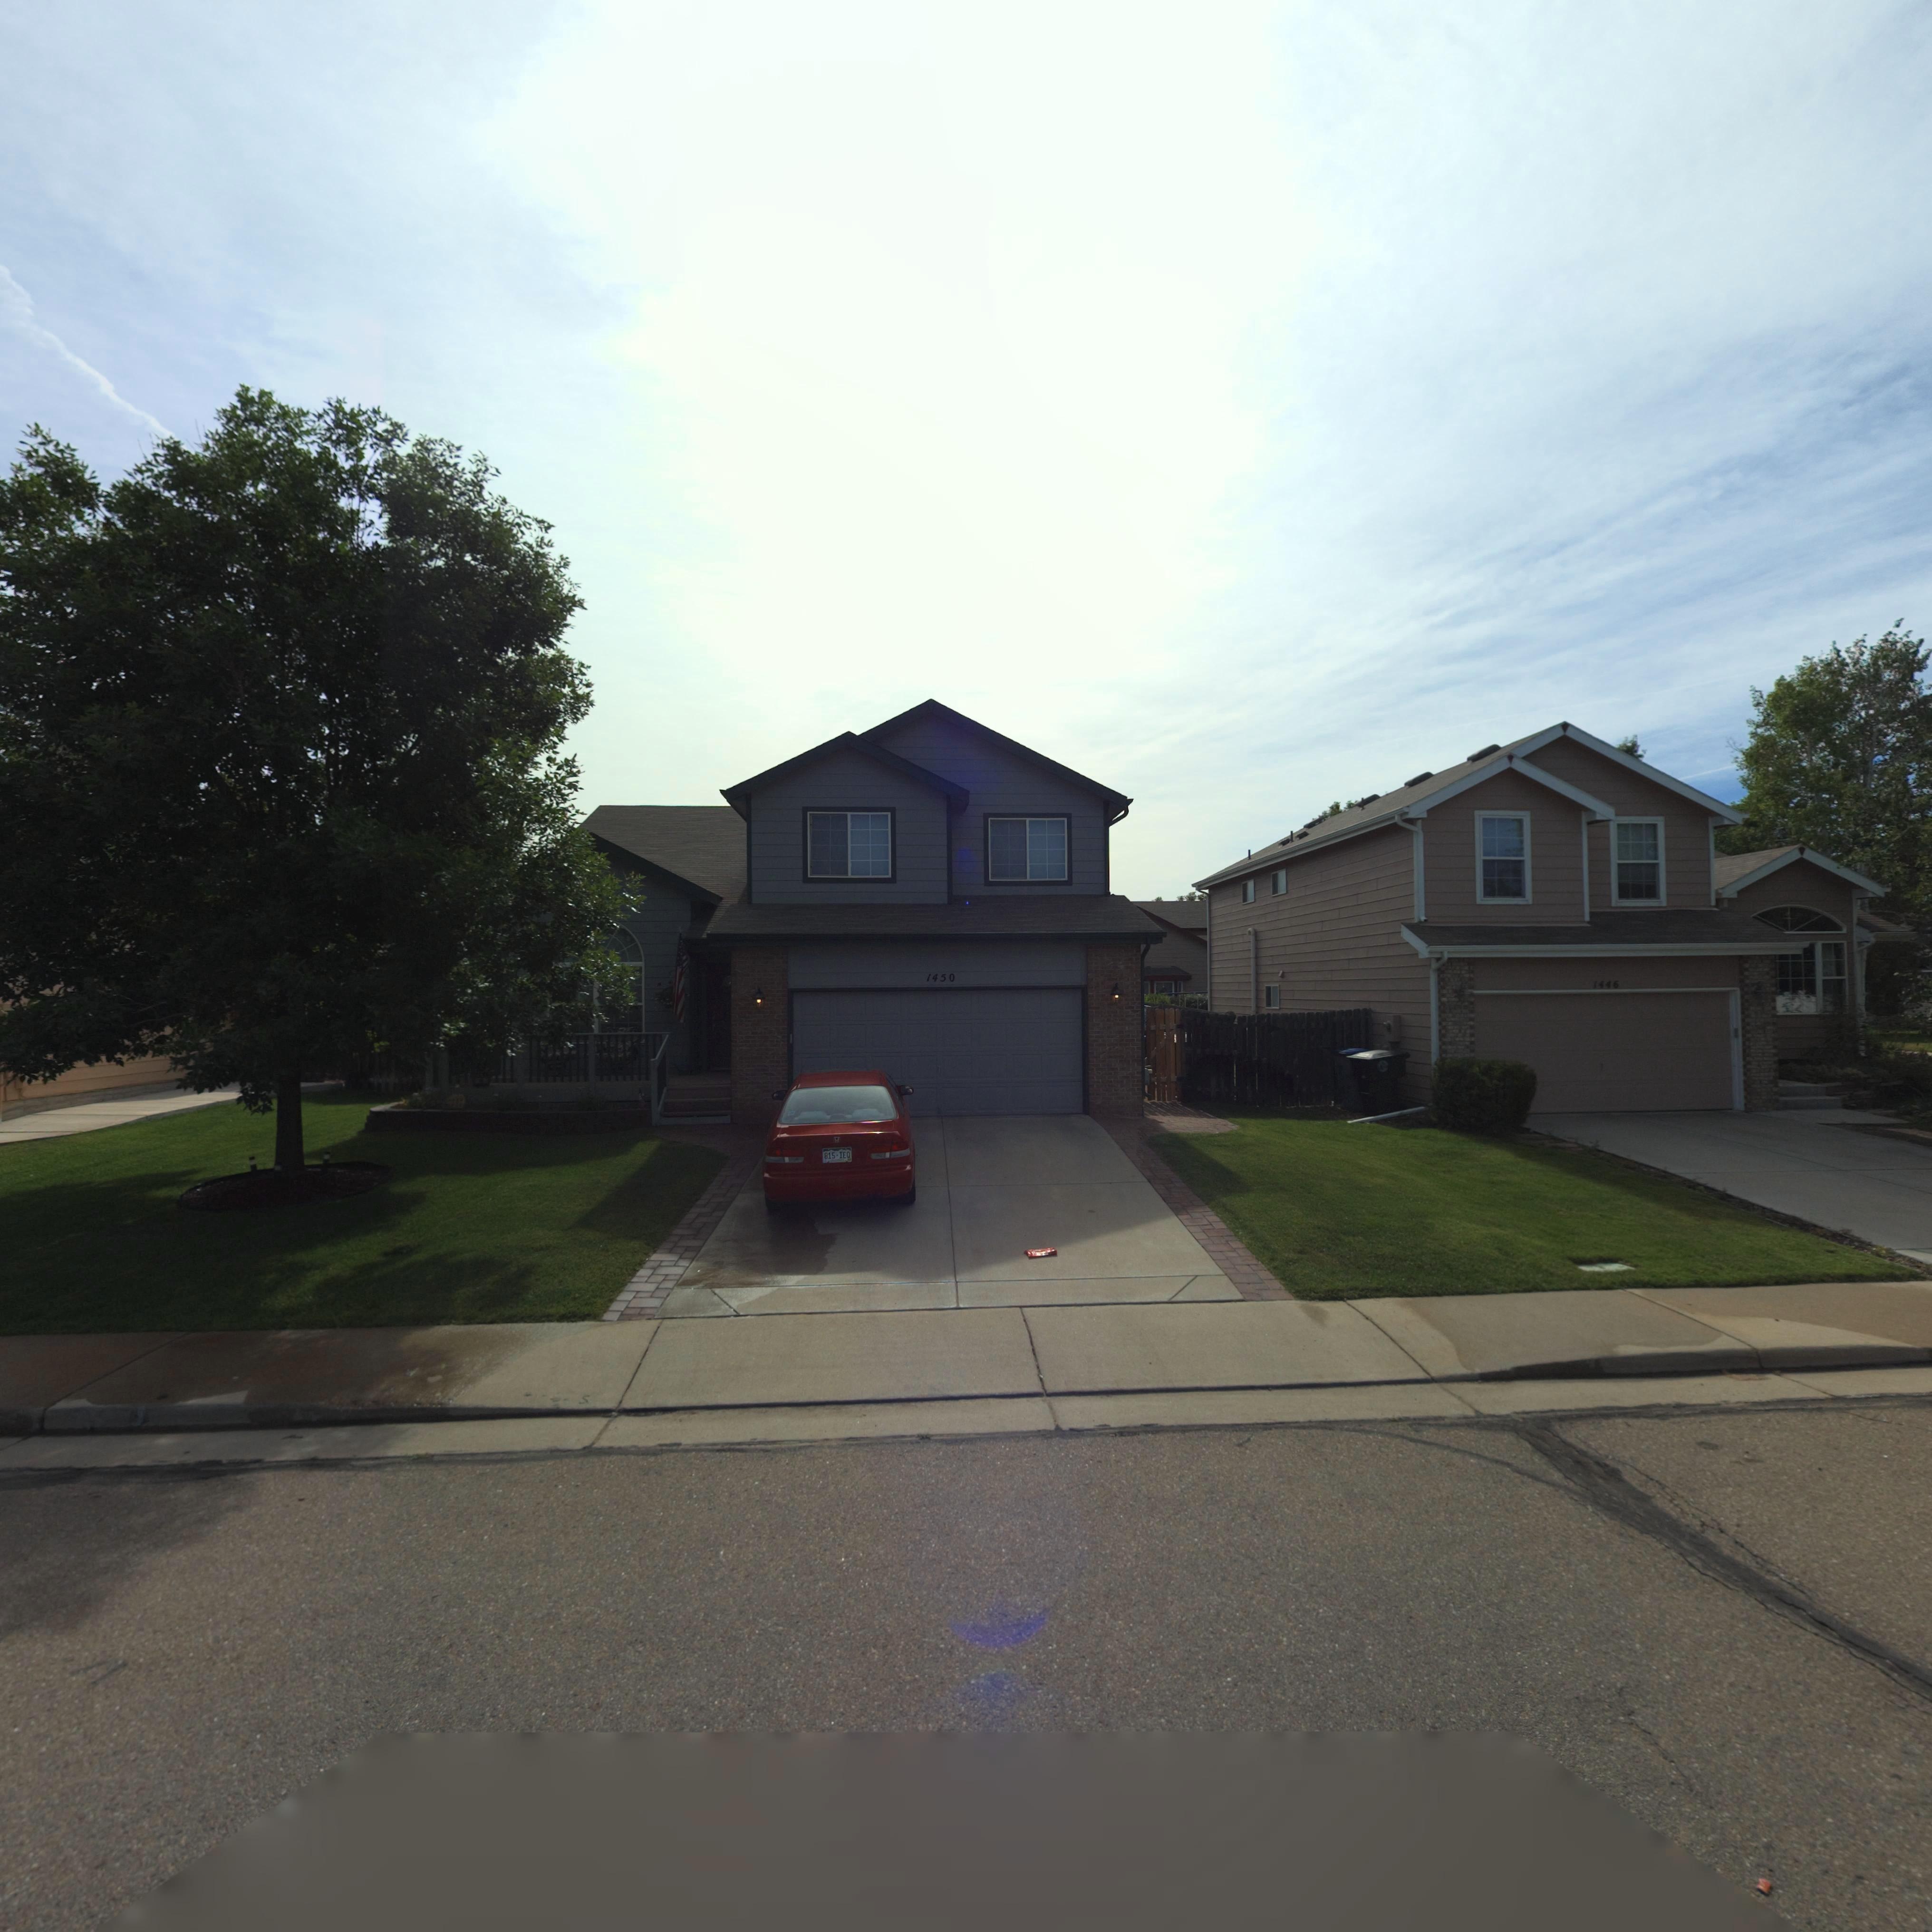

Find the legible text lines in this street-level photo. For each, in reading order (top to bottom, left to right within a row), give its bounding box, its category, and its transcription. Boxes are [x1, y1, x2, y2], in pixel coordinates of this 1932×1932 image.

[925, 972, 956, 982] StreetNumber: 1450
[1592, 979, 1619, 989] StreetNumber: 1446